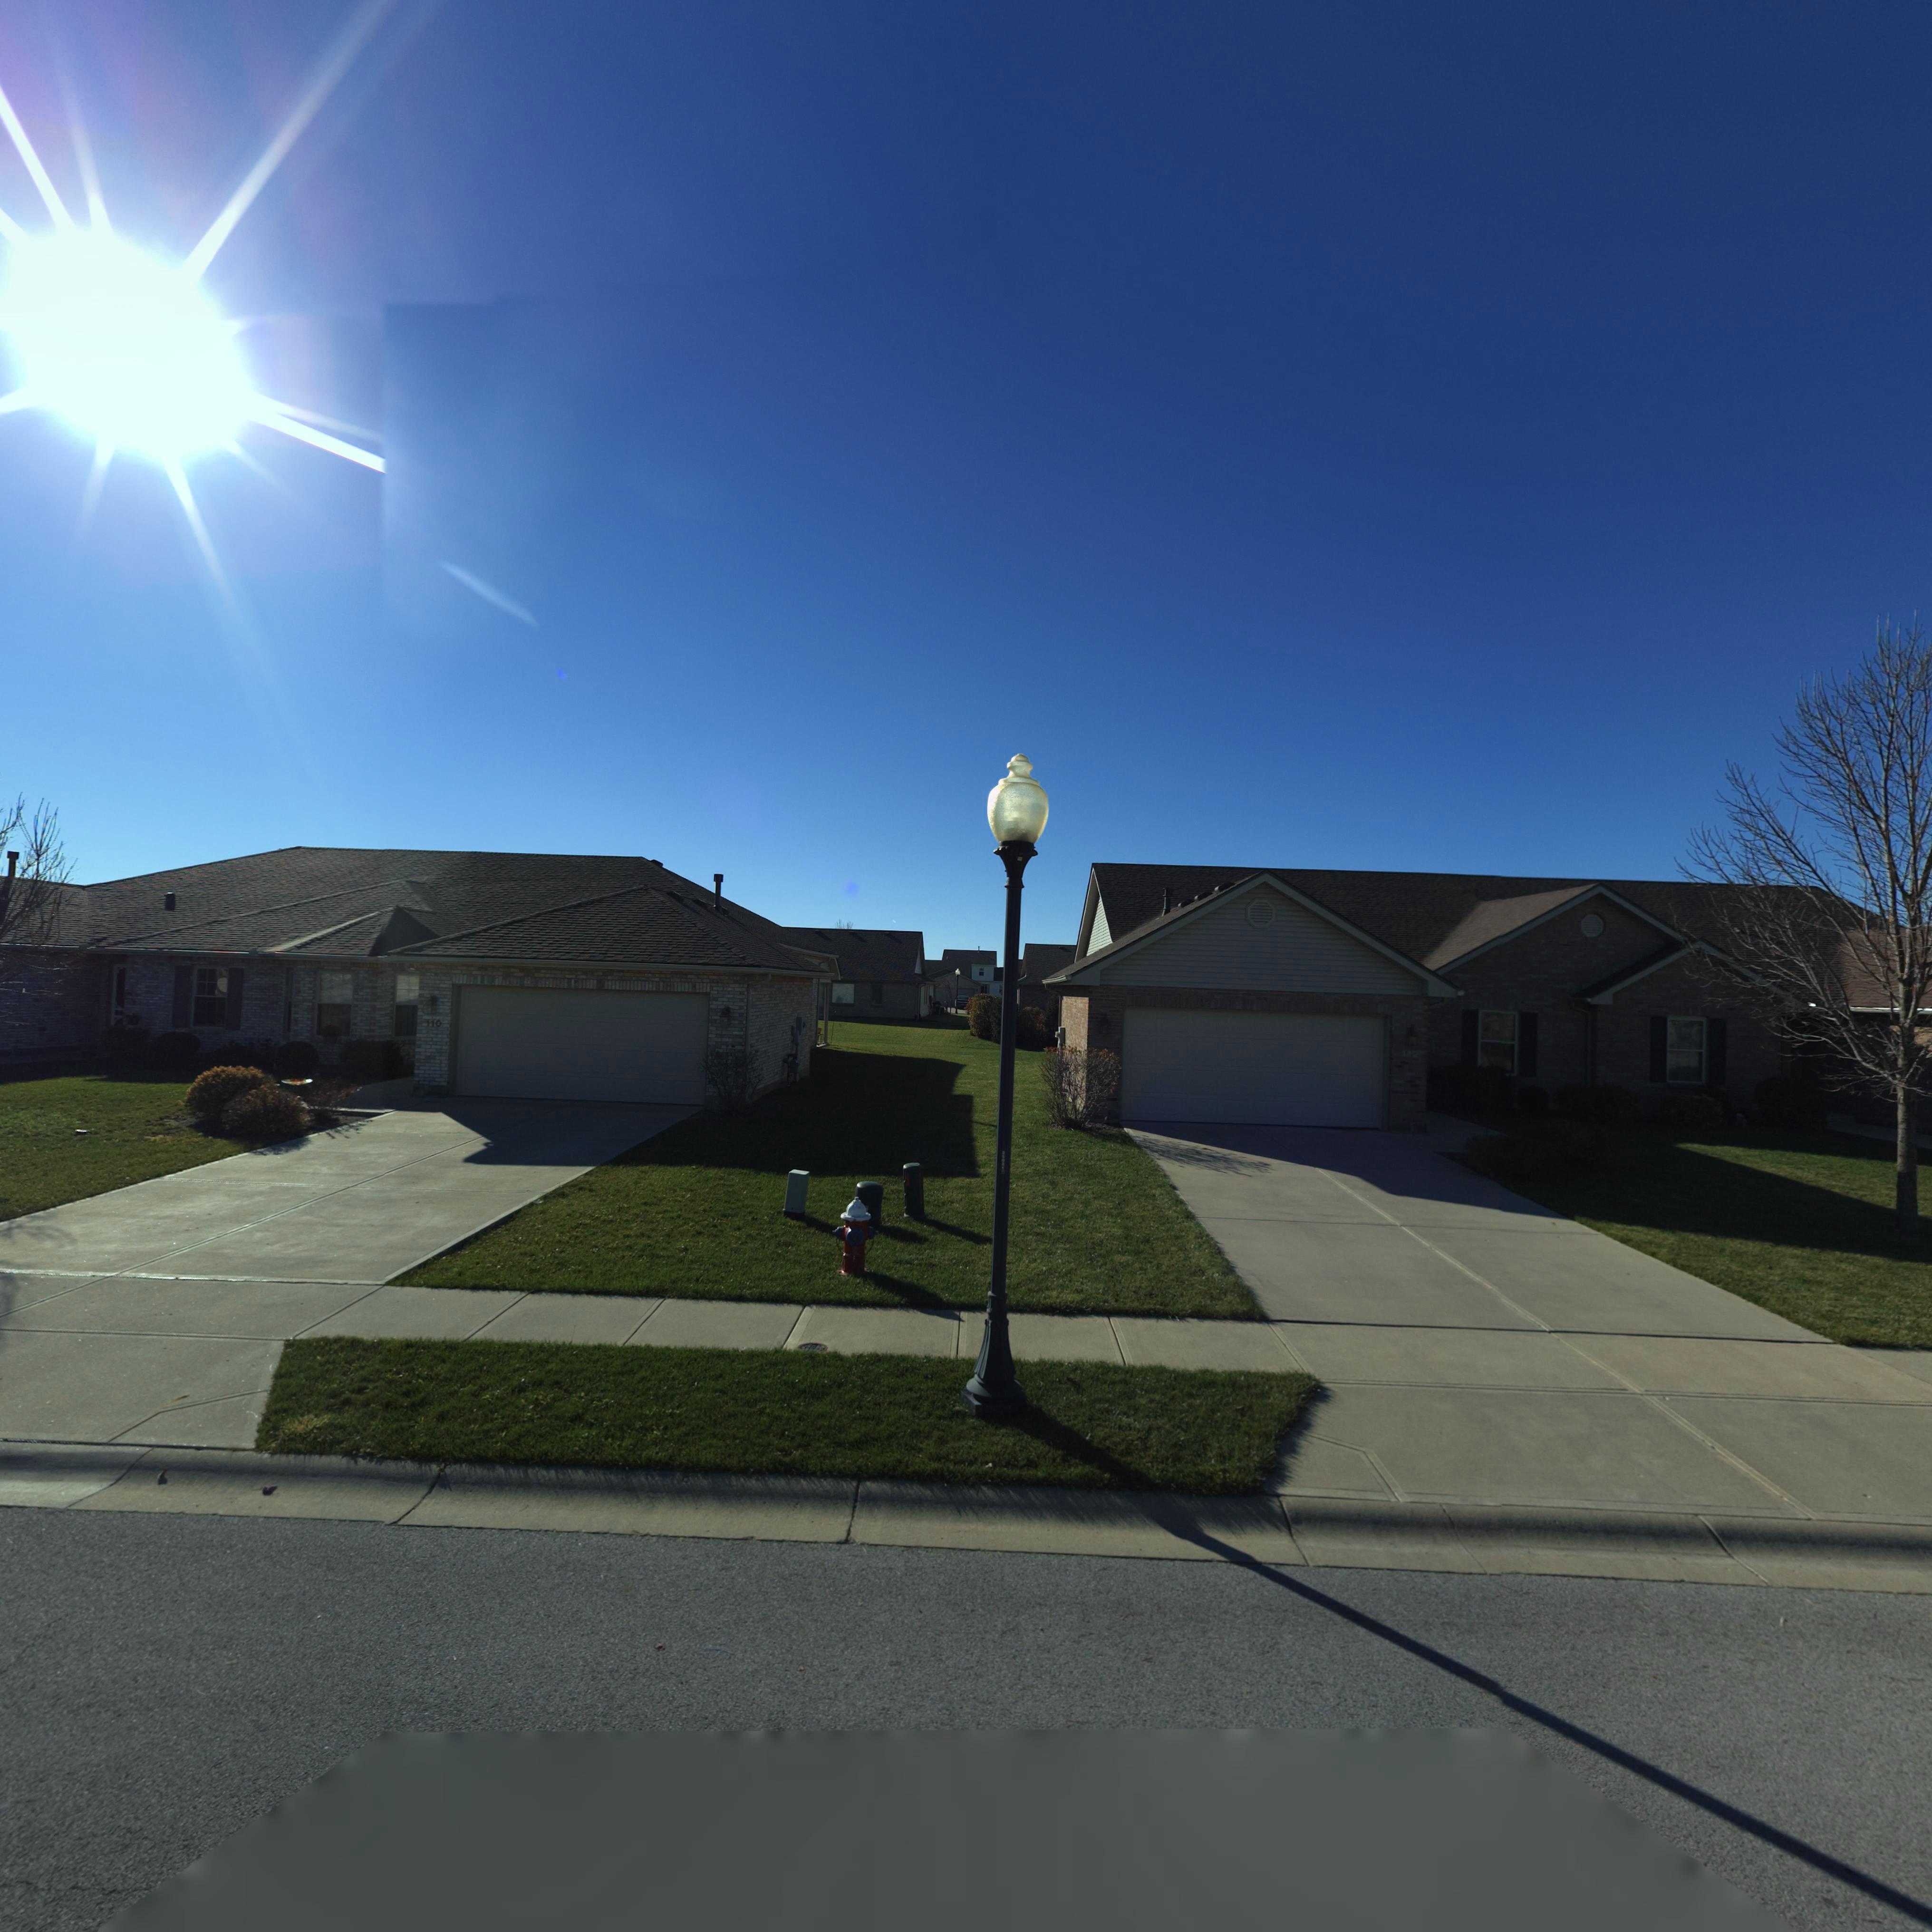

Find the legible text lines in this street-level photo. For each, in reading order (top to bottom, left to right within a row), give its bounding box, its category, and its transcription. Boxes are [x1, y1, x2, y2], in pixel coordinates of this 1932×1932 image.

[425, 1018, 442, 1028] StreetNumber: 110